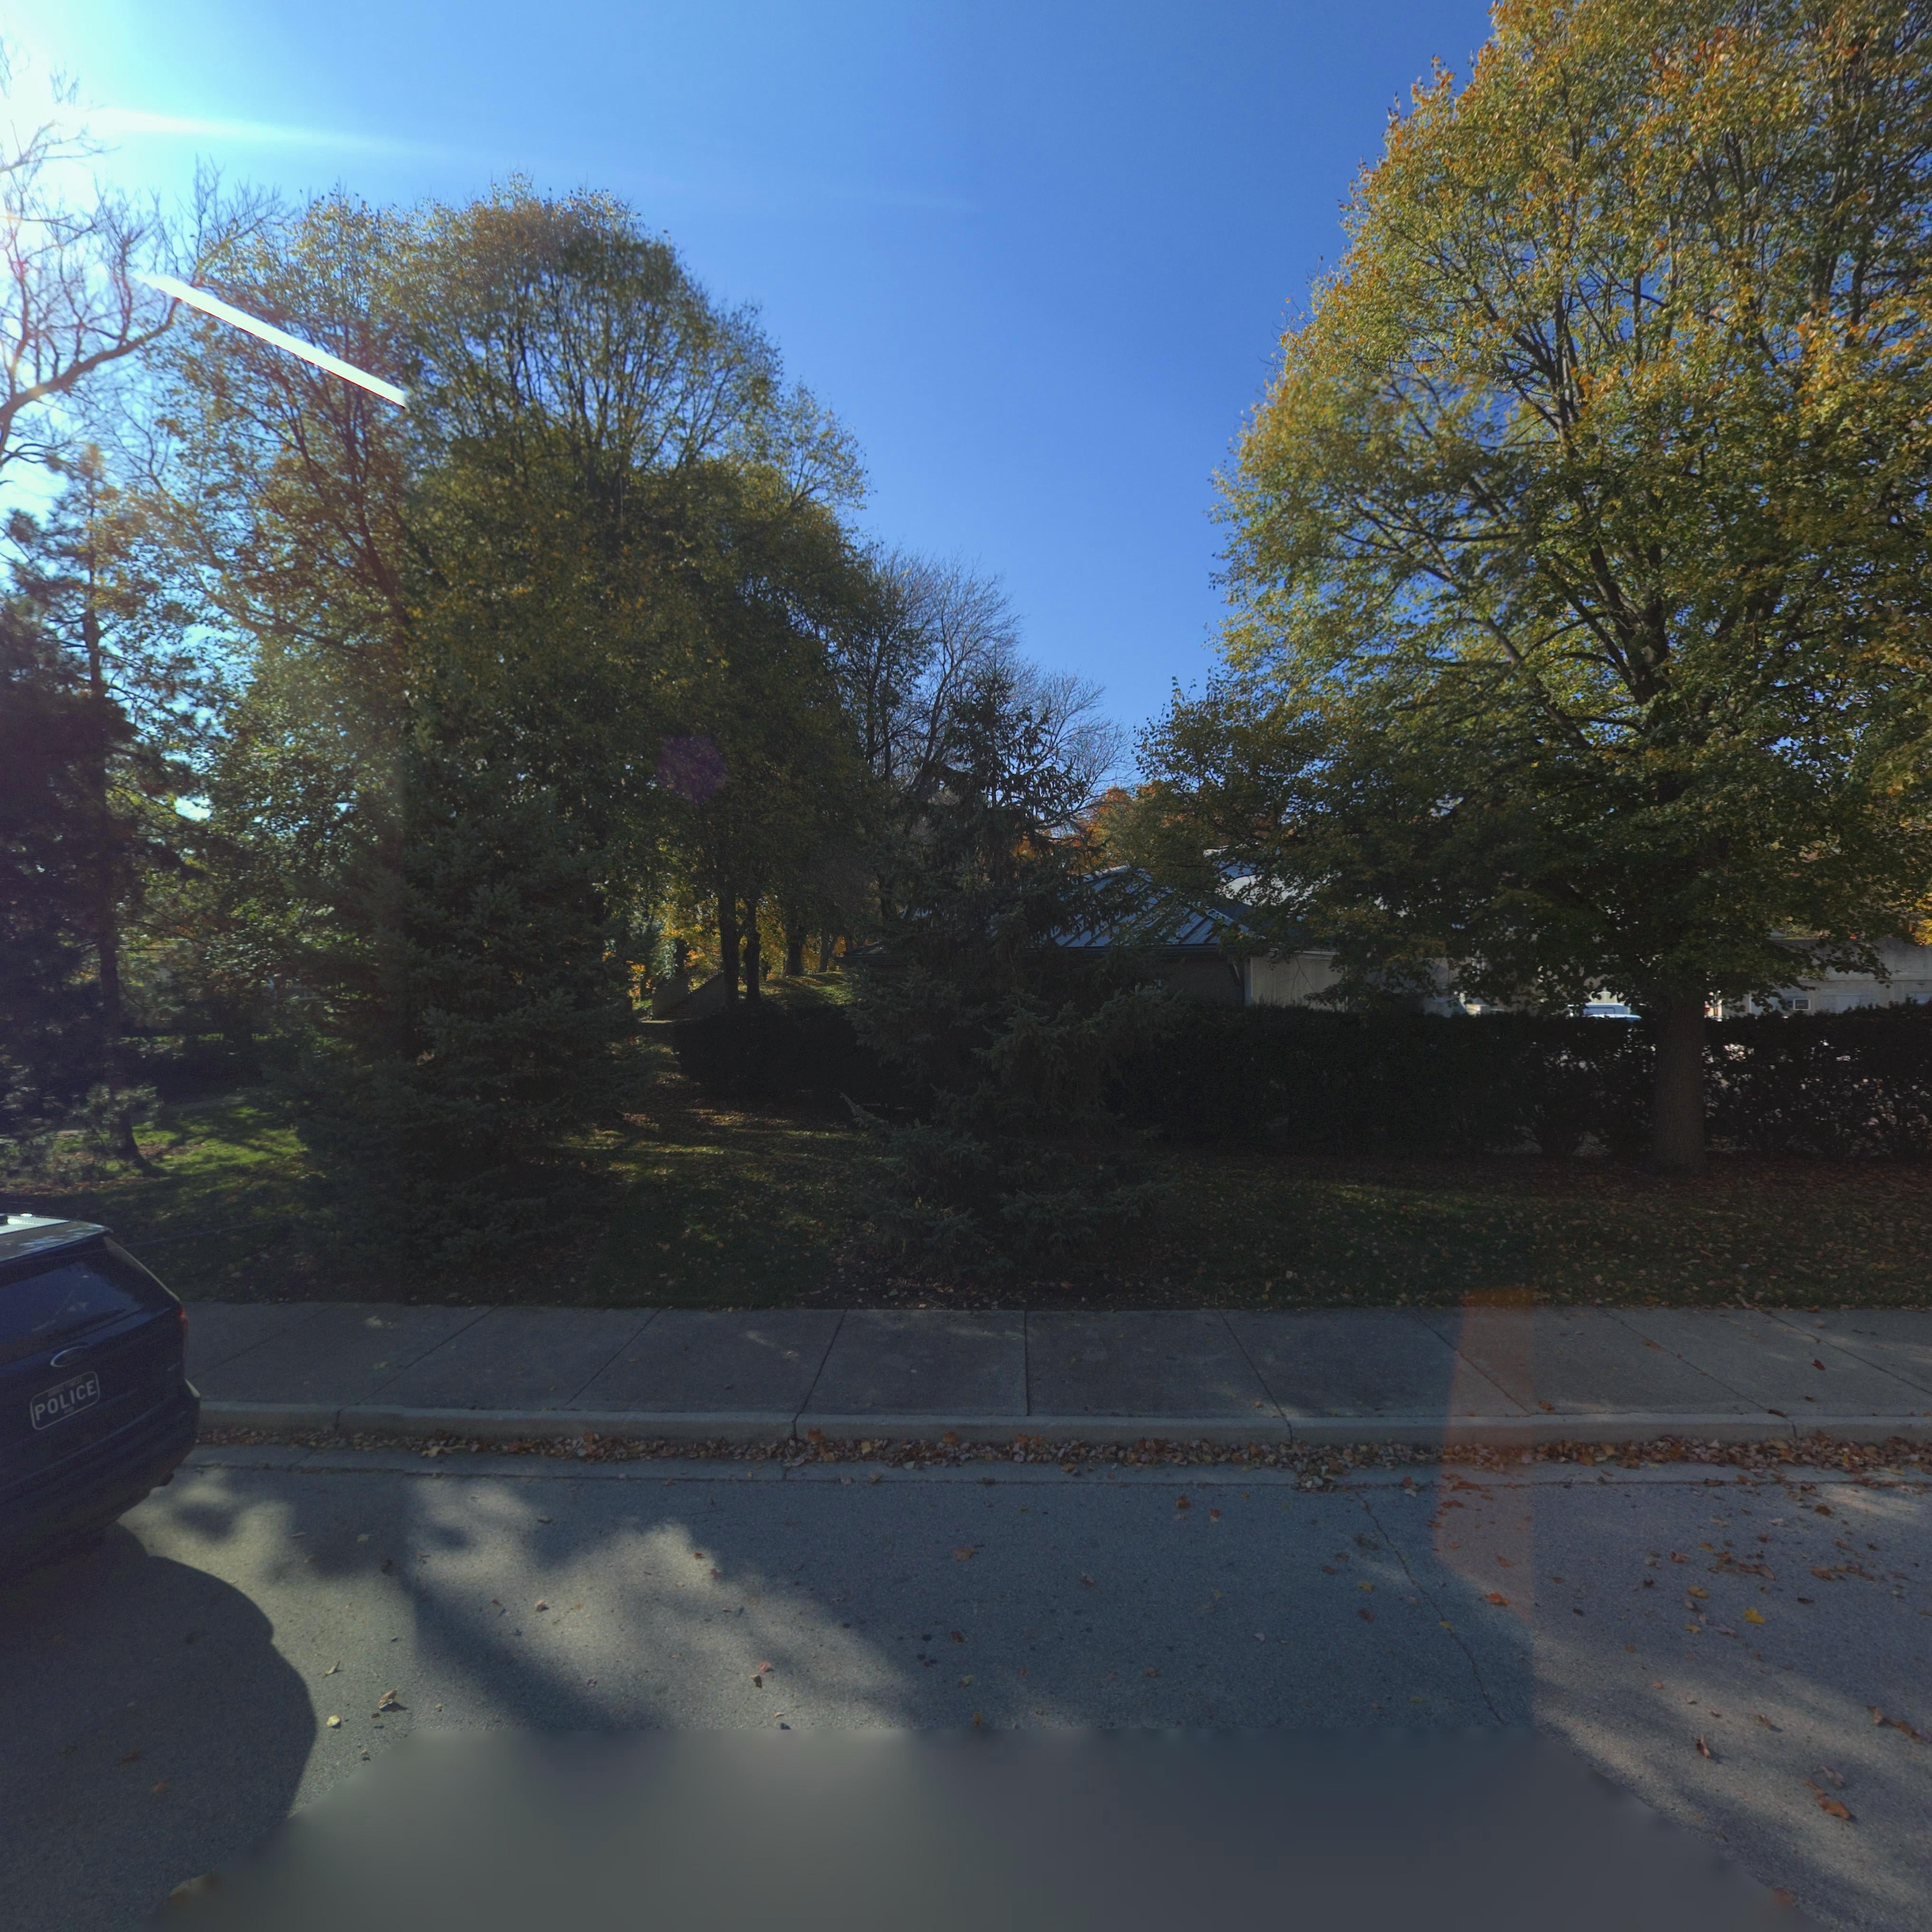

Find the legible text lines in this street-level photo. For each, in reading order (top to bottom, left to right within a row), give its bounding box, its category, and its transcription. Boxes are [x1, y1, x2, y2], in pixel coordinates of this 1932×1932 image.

[33, 1379, 97, 1422] None: POLICE